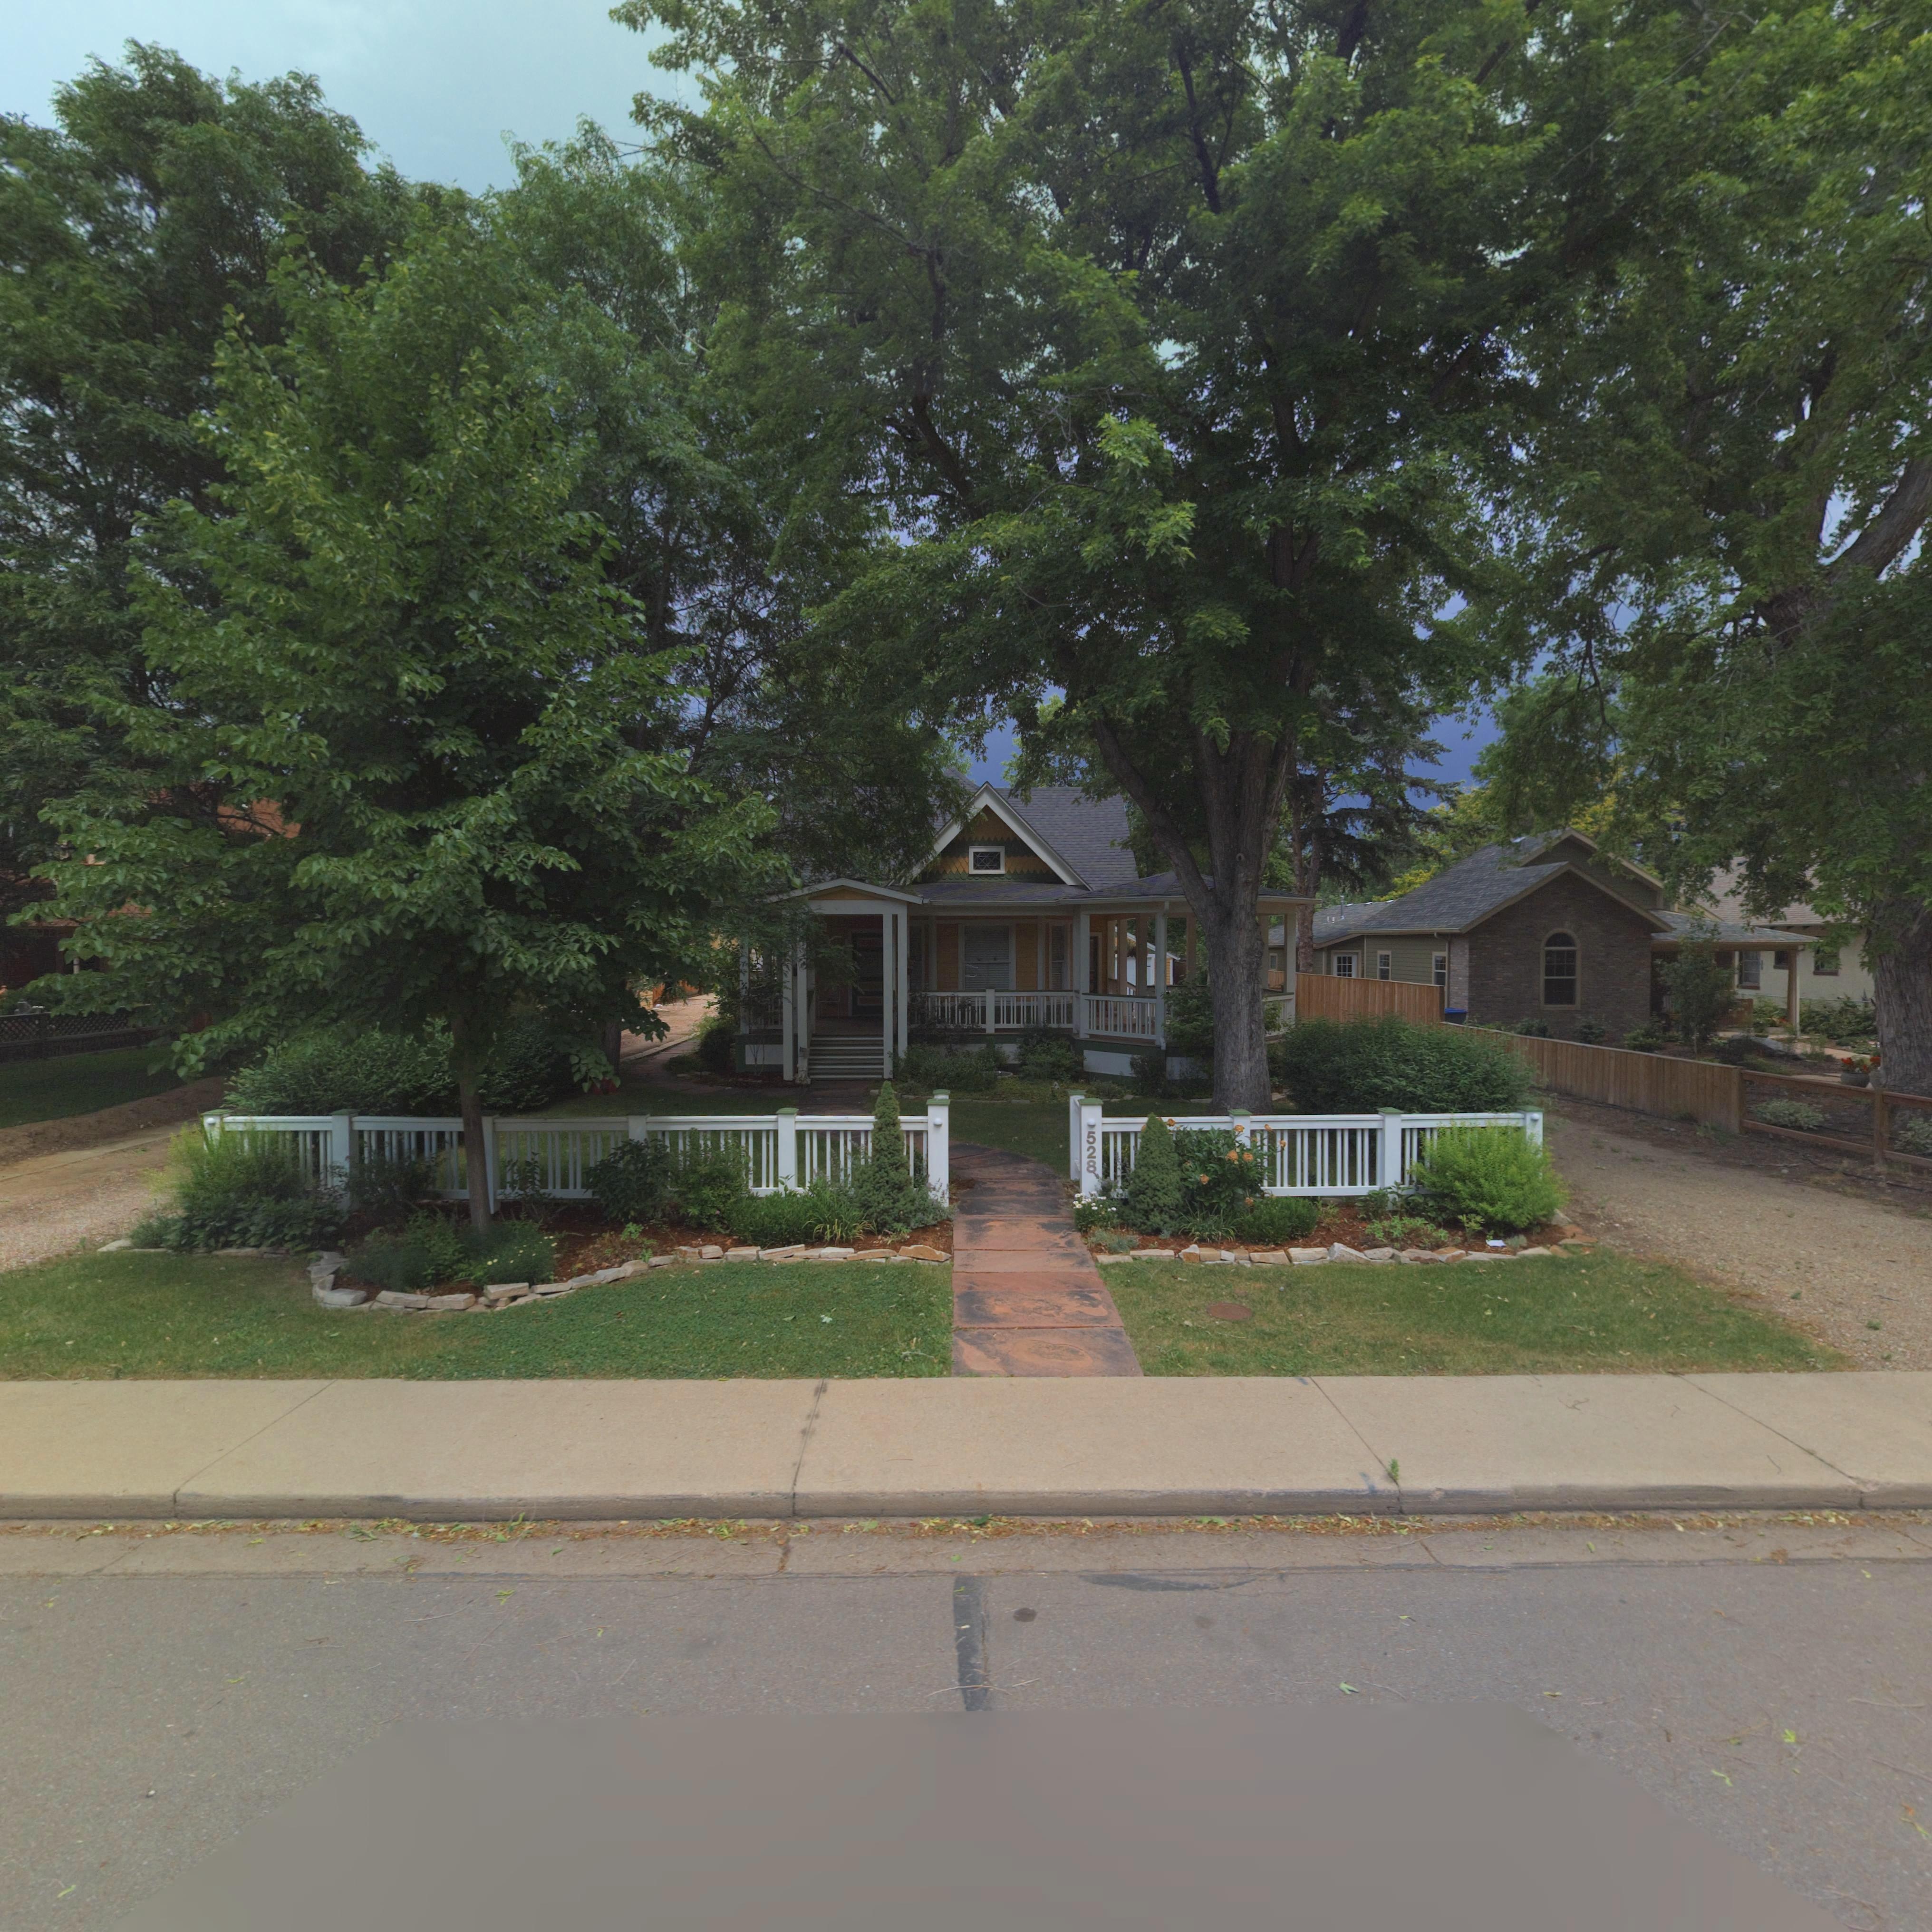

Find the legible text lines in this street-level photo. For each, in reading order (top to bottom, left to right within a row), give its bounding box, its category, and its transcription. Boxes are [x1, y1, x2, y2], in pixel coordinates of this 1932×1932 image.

[1086, 1130, 1097, 1173] StreetNumber: 528